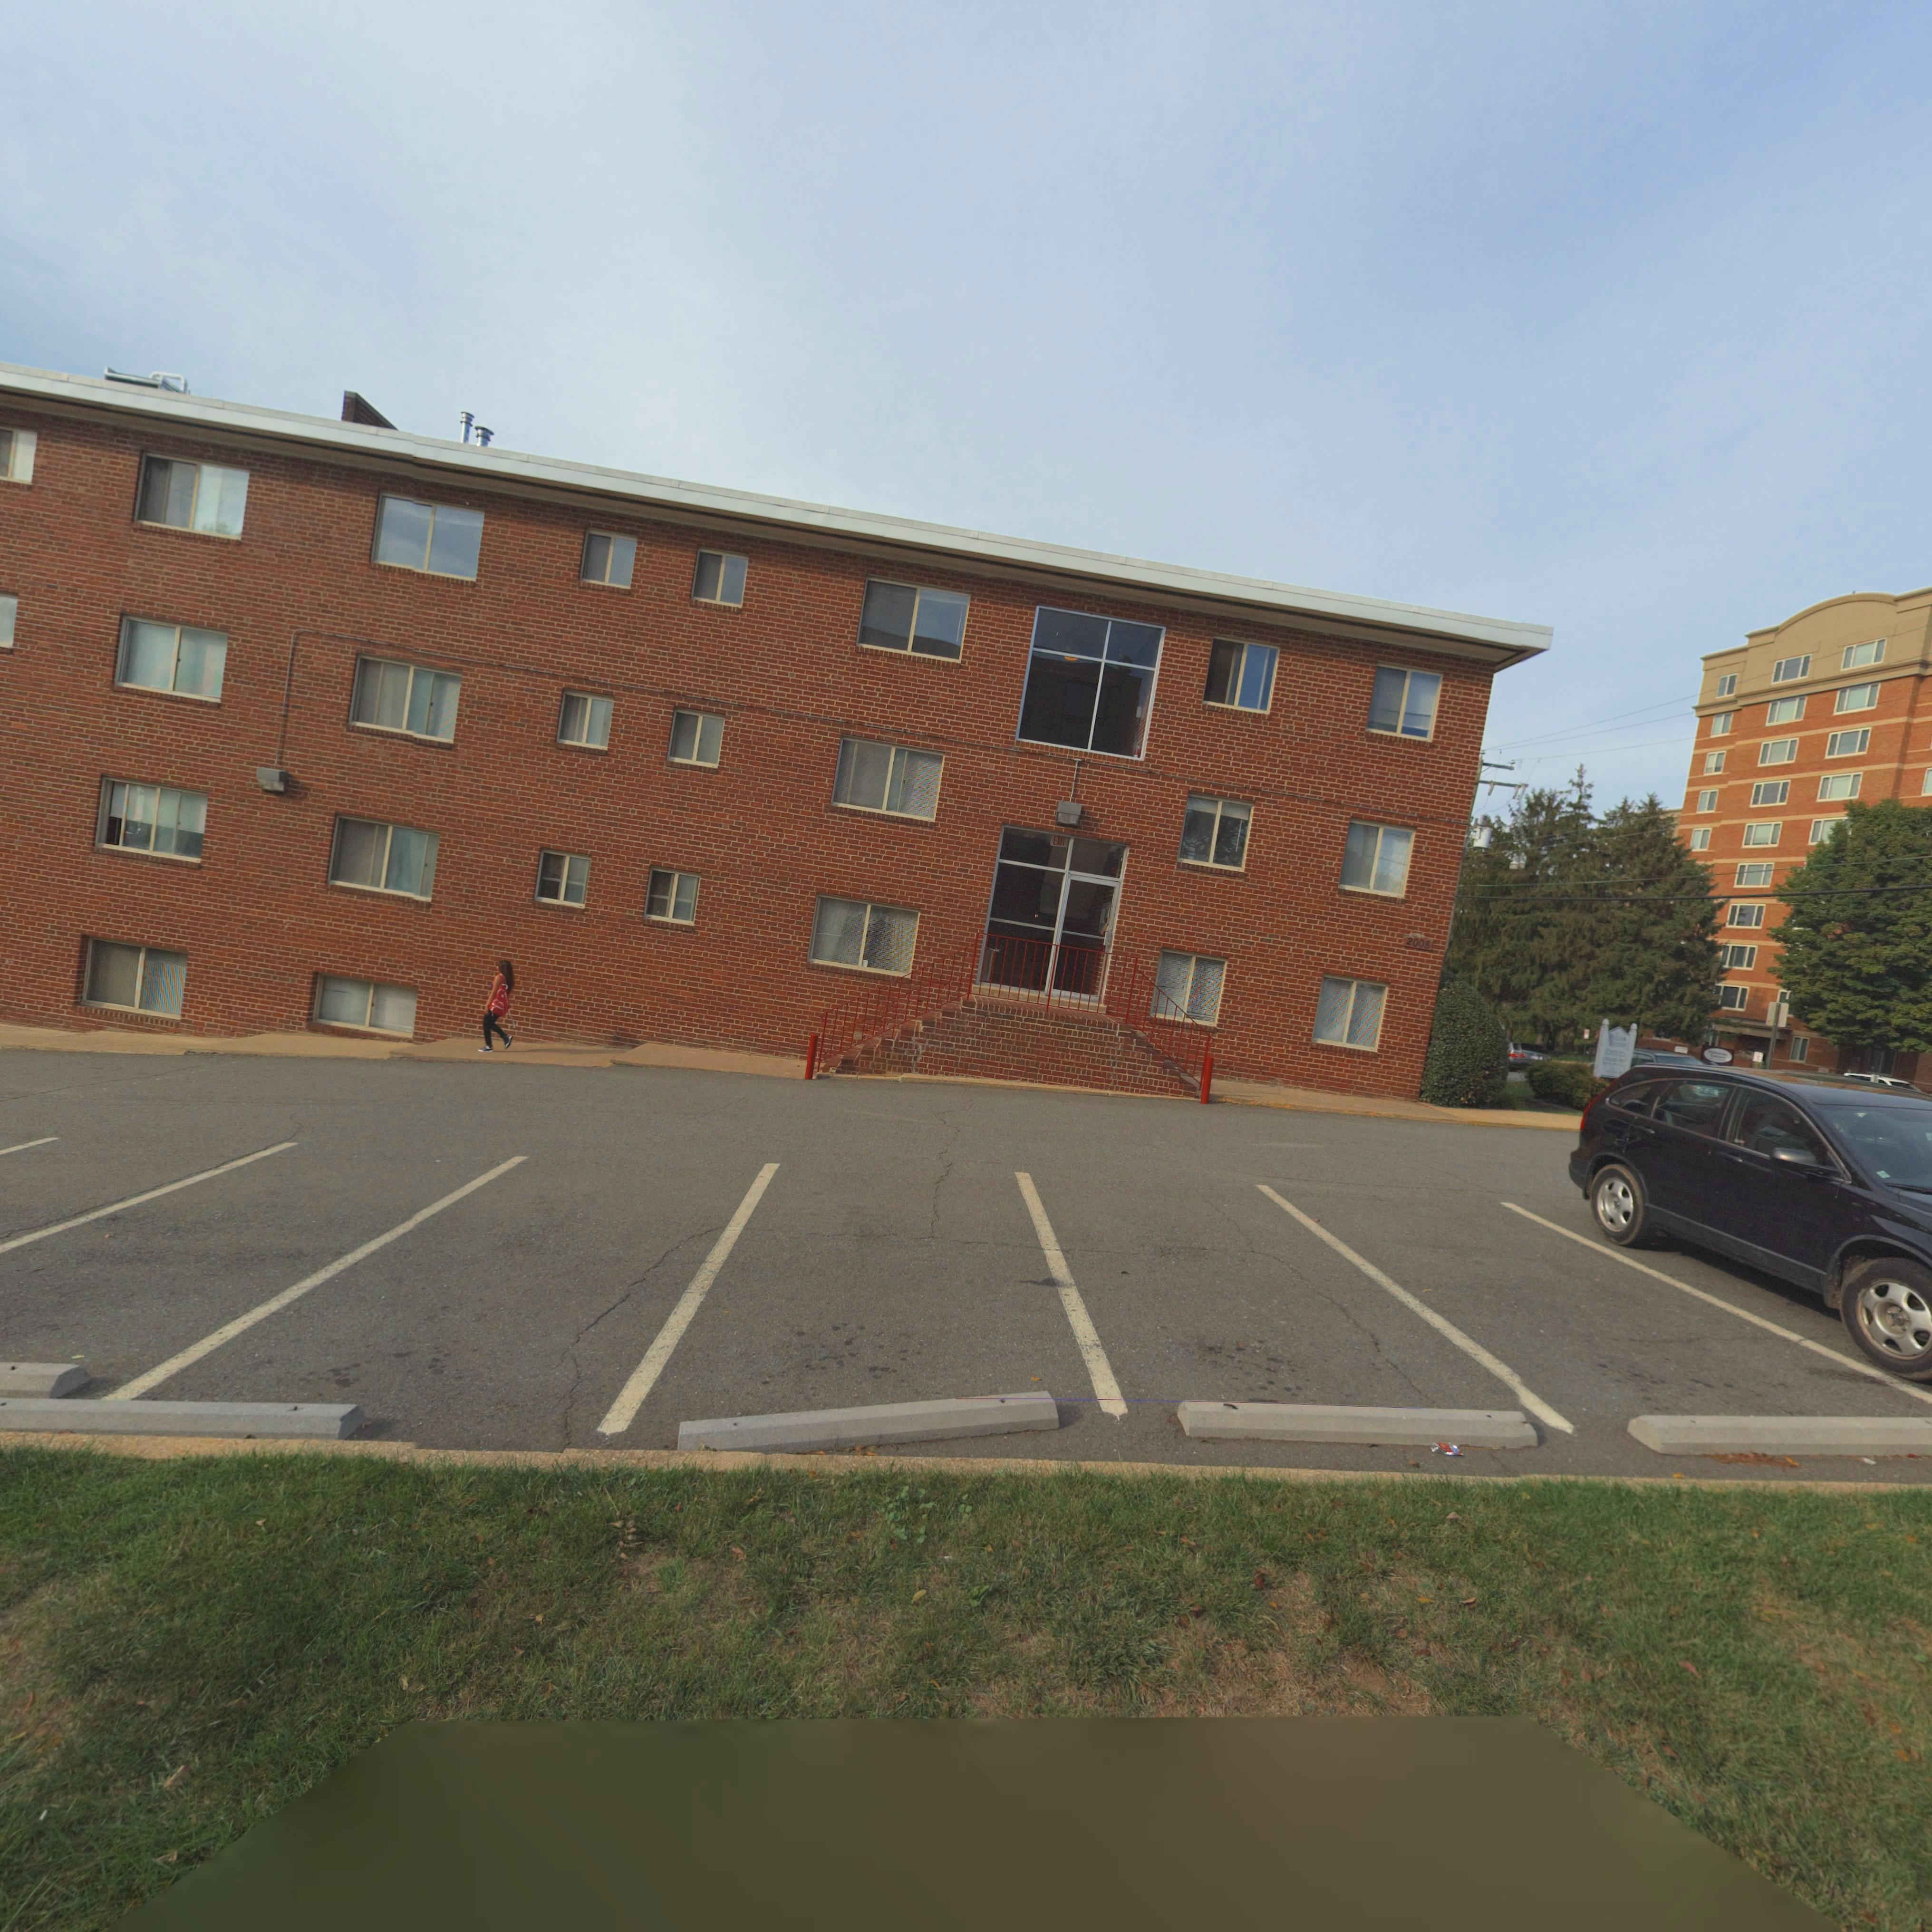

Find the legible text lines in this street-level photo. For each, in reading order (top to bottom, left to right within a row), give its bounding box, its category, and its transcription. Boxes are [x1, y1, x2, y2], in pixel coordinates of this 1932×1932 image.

[1053, 835, 1067, 846] None: EXIT
[1406, 937, 1431, 949] StreetNumber: 2008